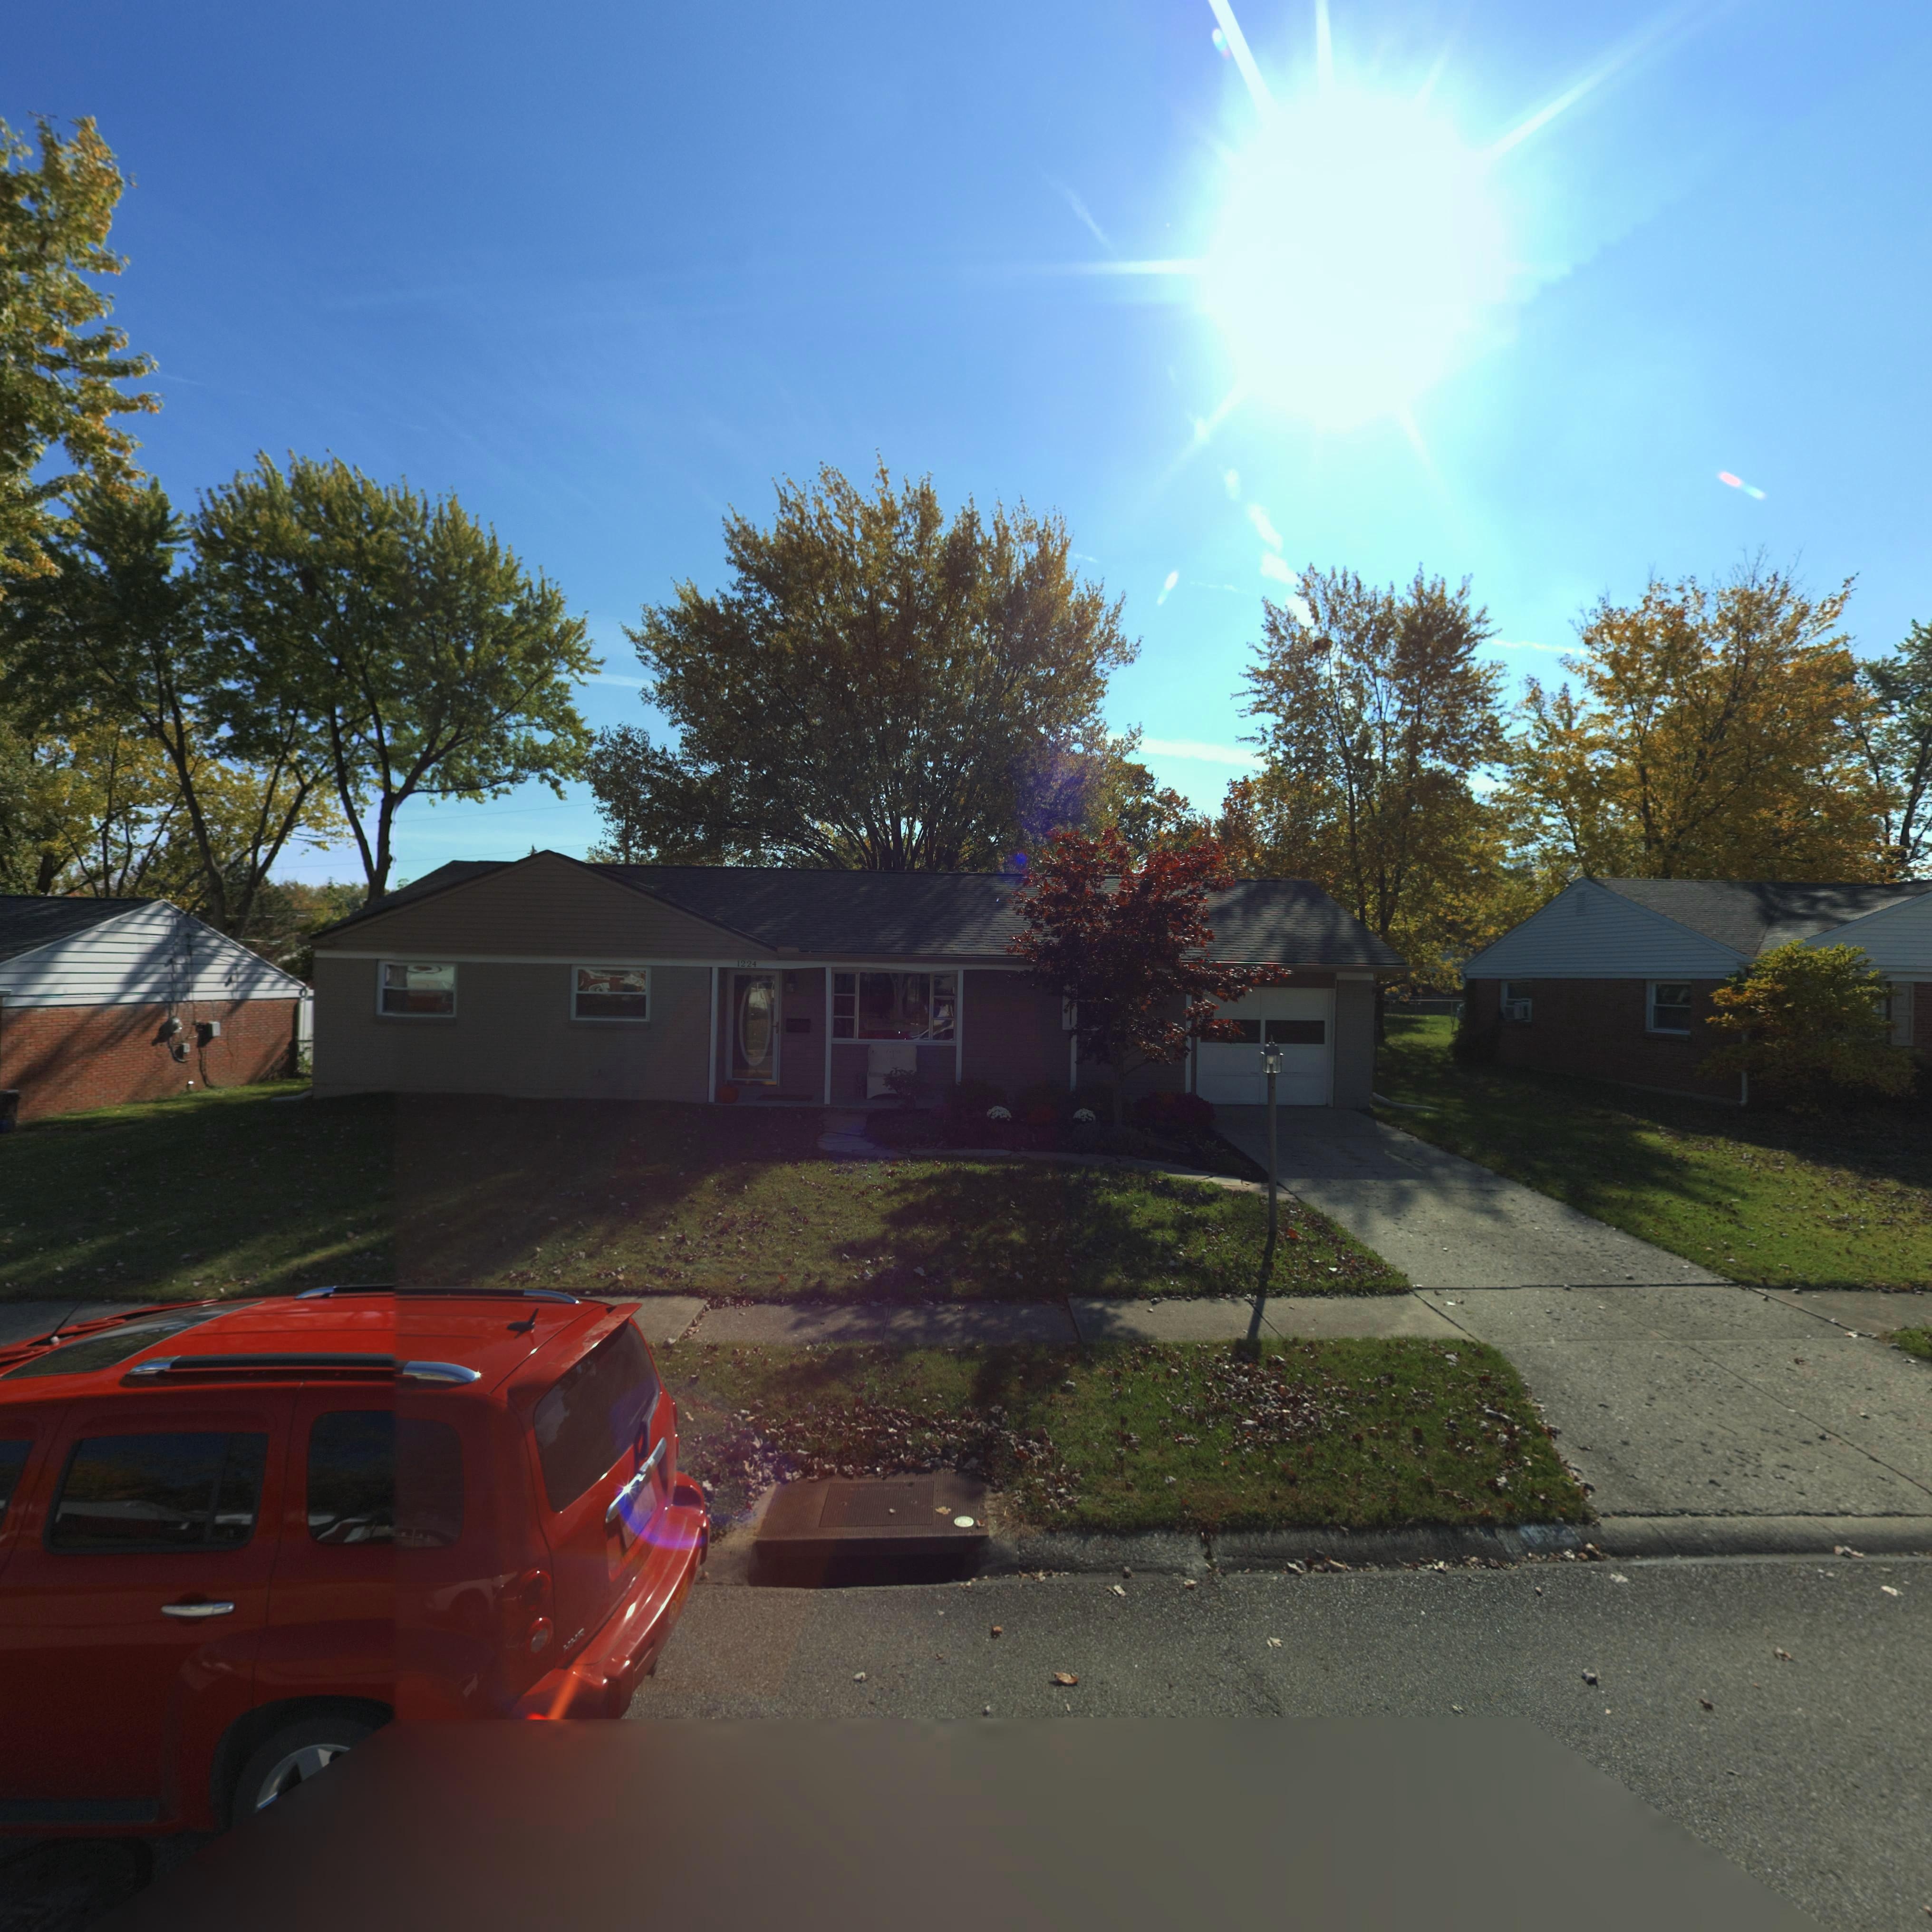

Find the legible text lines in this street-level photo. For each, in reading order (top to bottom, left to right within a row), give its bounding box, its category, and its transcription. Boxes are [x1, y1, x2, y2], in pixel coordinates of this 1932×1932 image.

[736, 959, 757, 967] StreetNumber: 1224